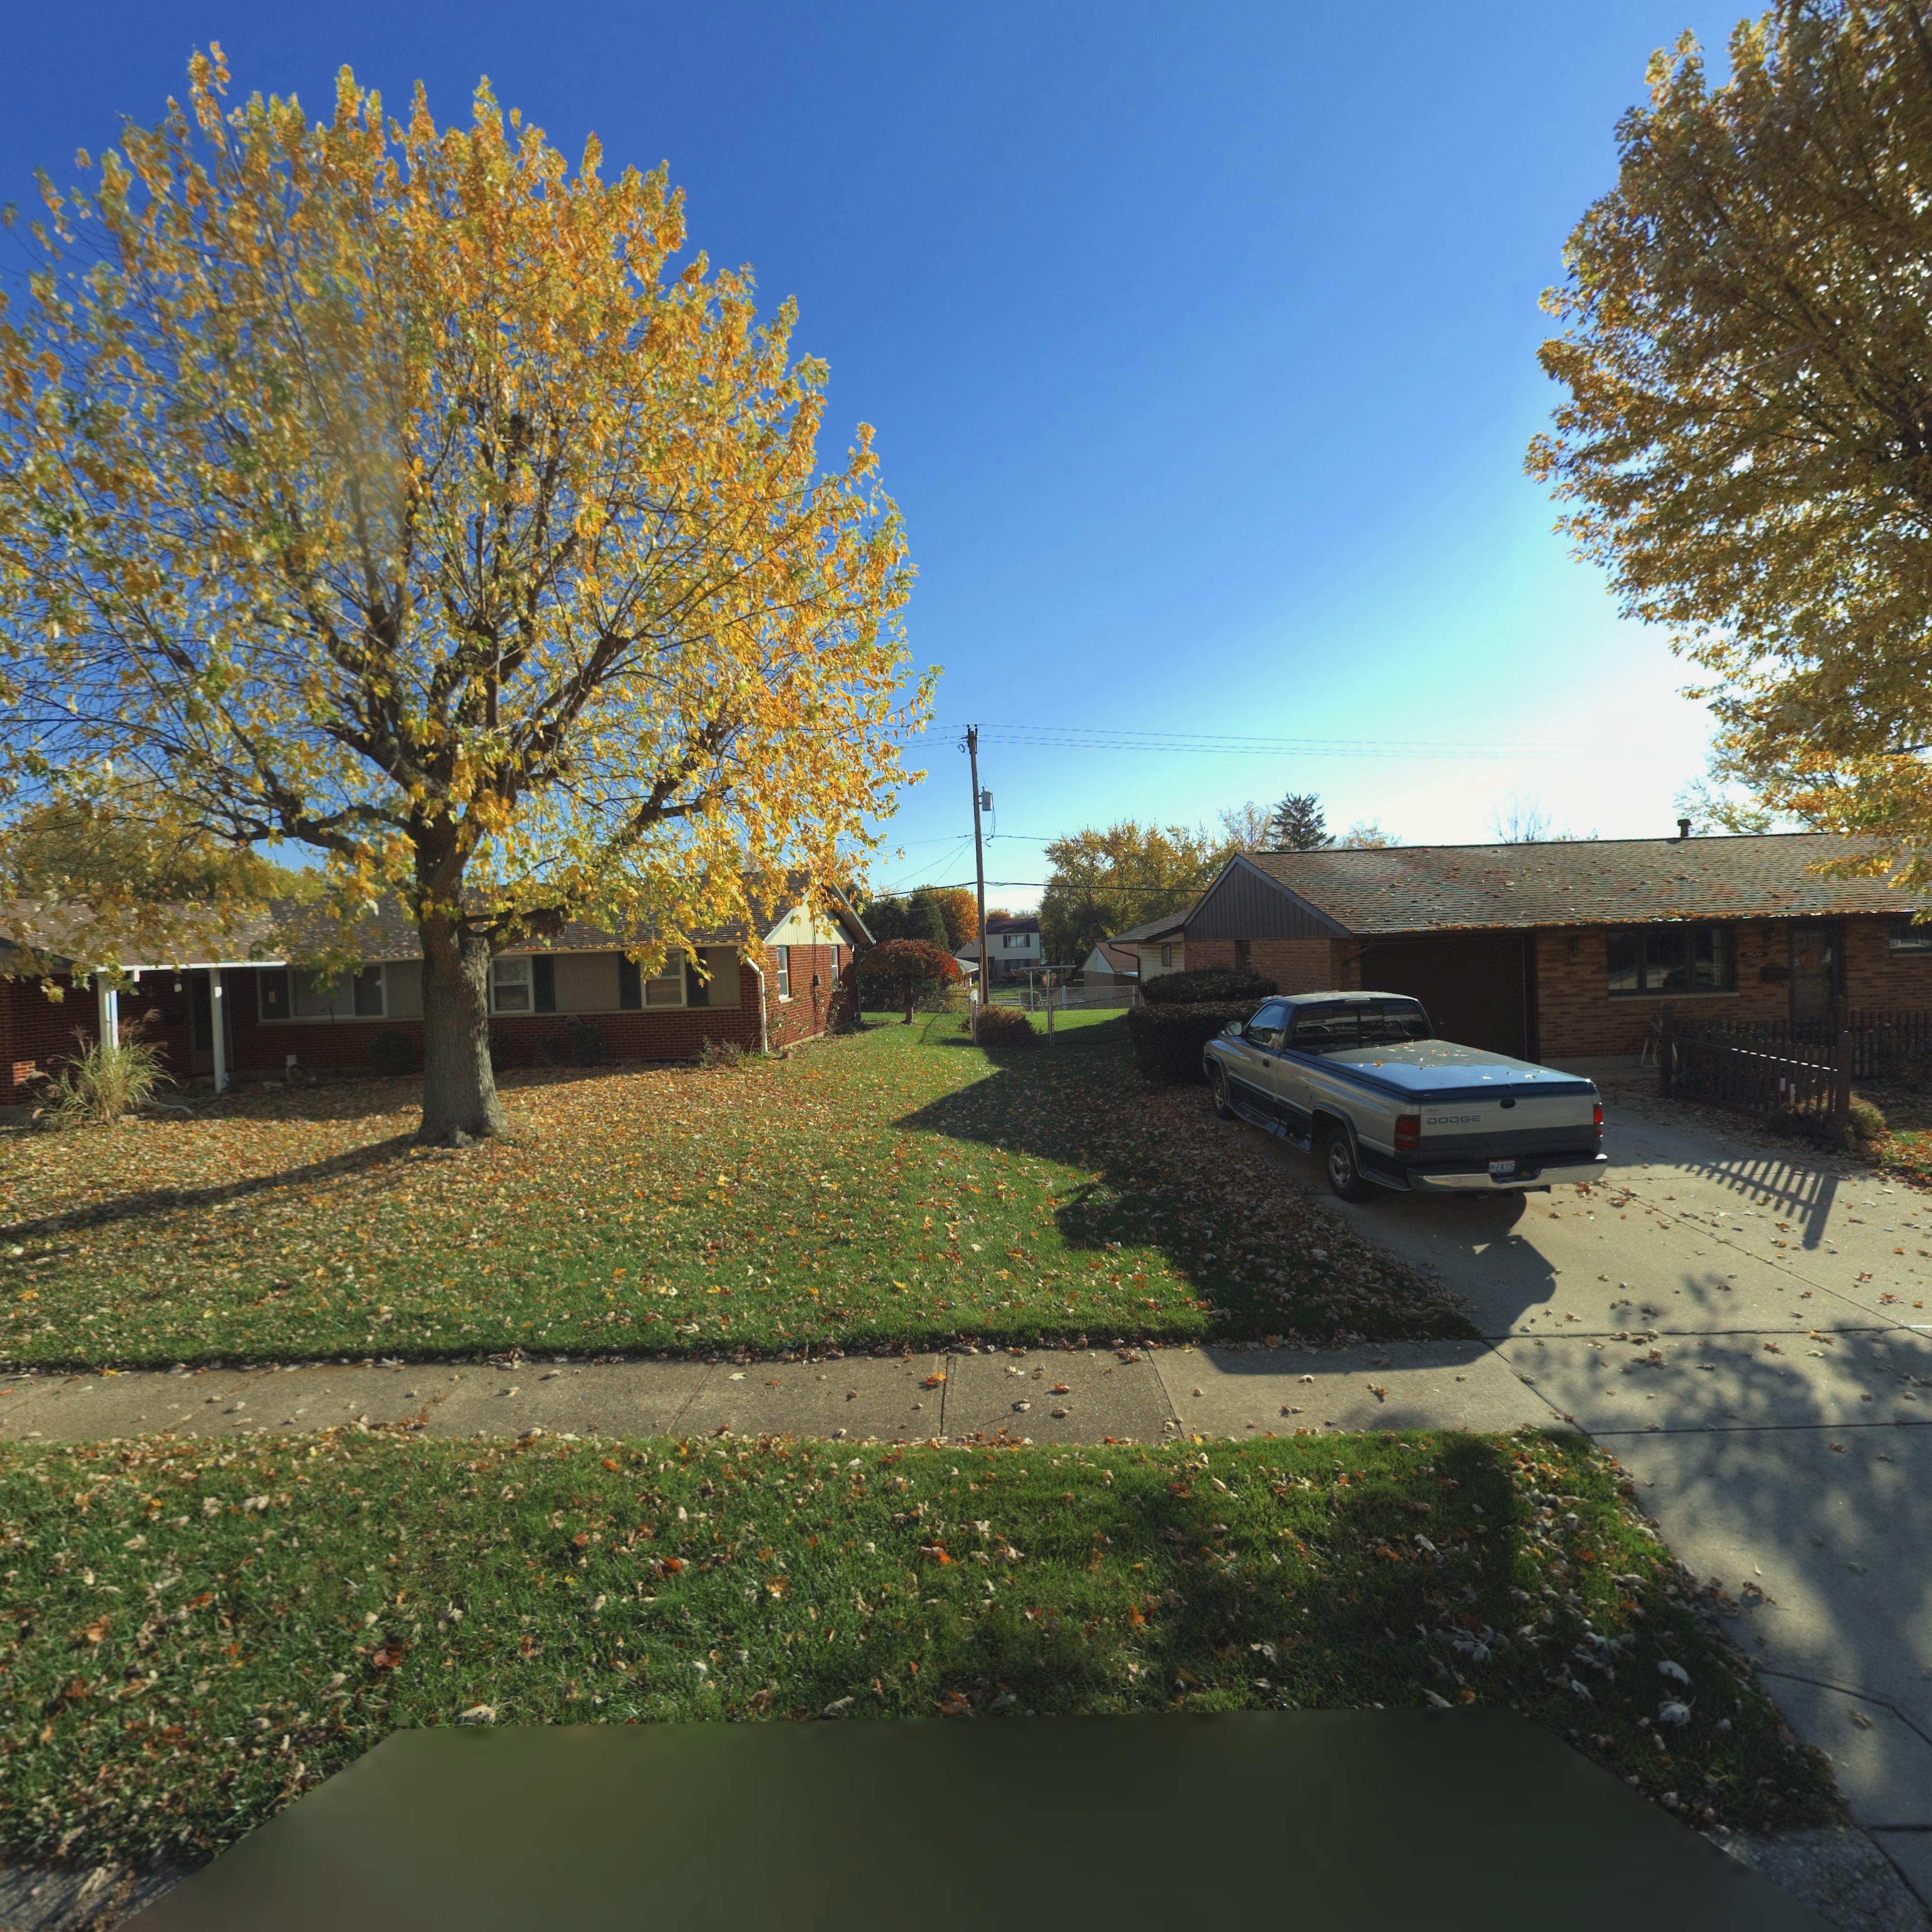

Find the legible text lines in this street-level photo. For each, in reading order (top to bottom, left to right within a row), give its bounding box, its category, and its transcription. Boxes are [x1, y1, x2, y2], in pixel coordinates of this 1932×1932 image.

[1744, 951, 1764, 958] StreetNumber: 75**